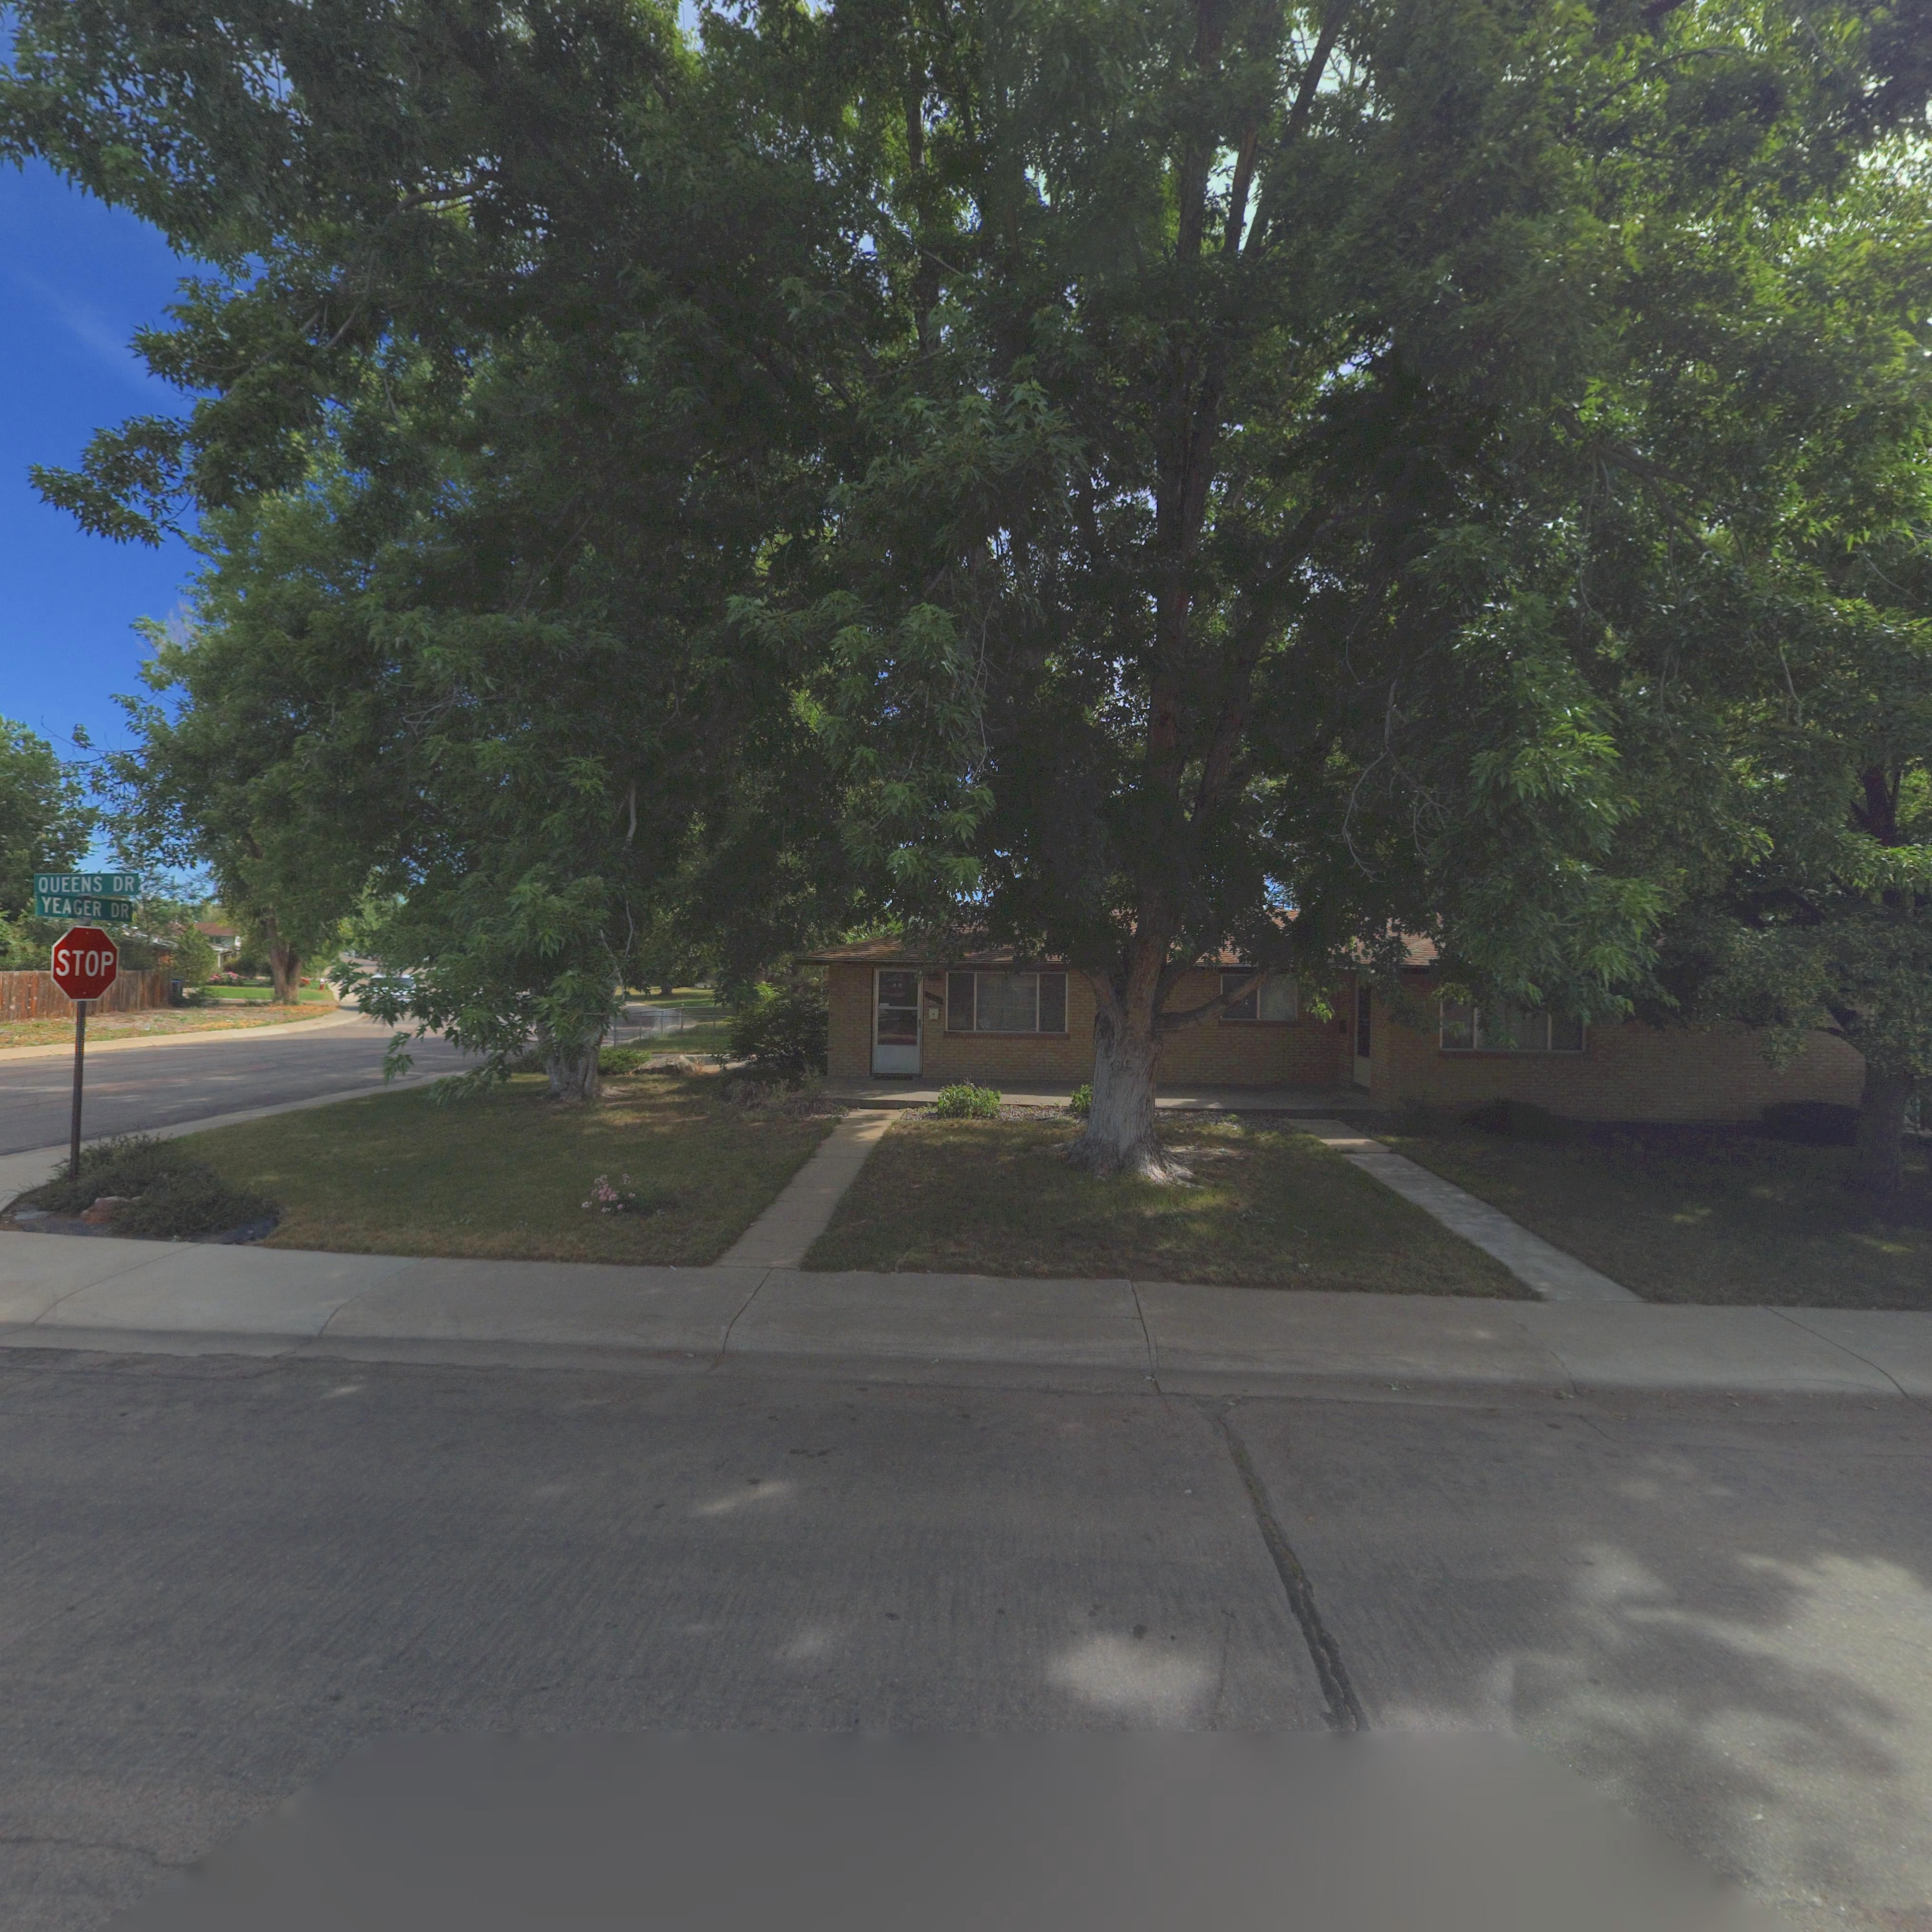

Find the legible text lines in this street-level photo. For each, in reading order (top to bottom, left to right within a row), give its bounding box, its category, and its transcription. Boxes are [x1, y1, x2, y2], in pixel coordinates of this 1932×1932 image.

[38, 875, 135, 894] StreetName: QUEENS DR
[40, 895, 130, 919] StreetName: YEAGER DR